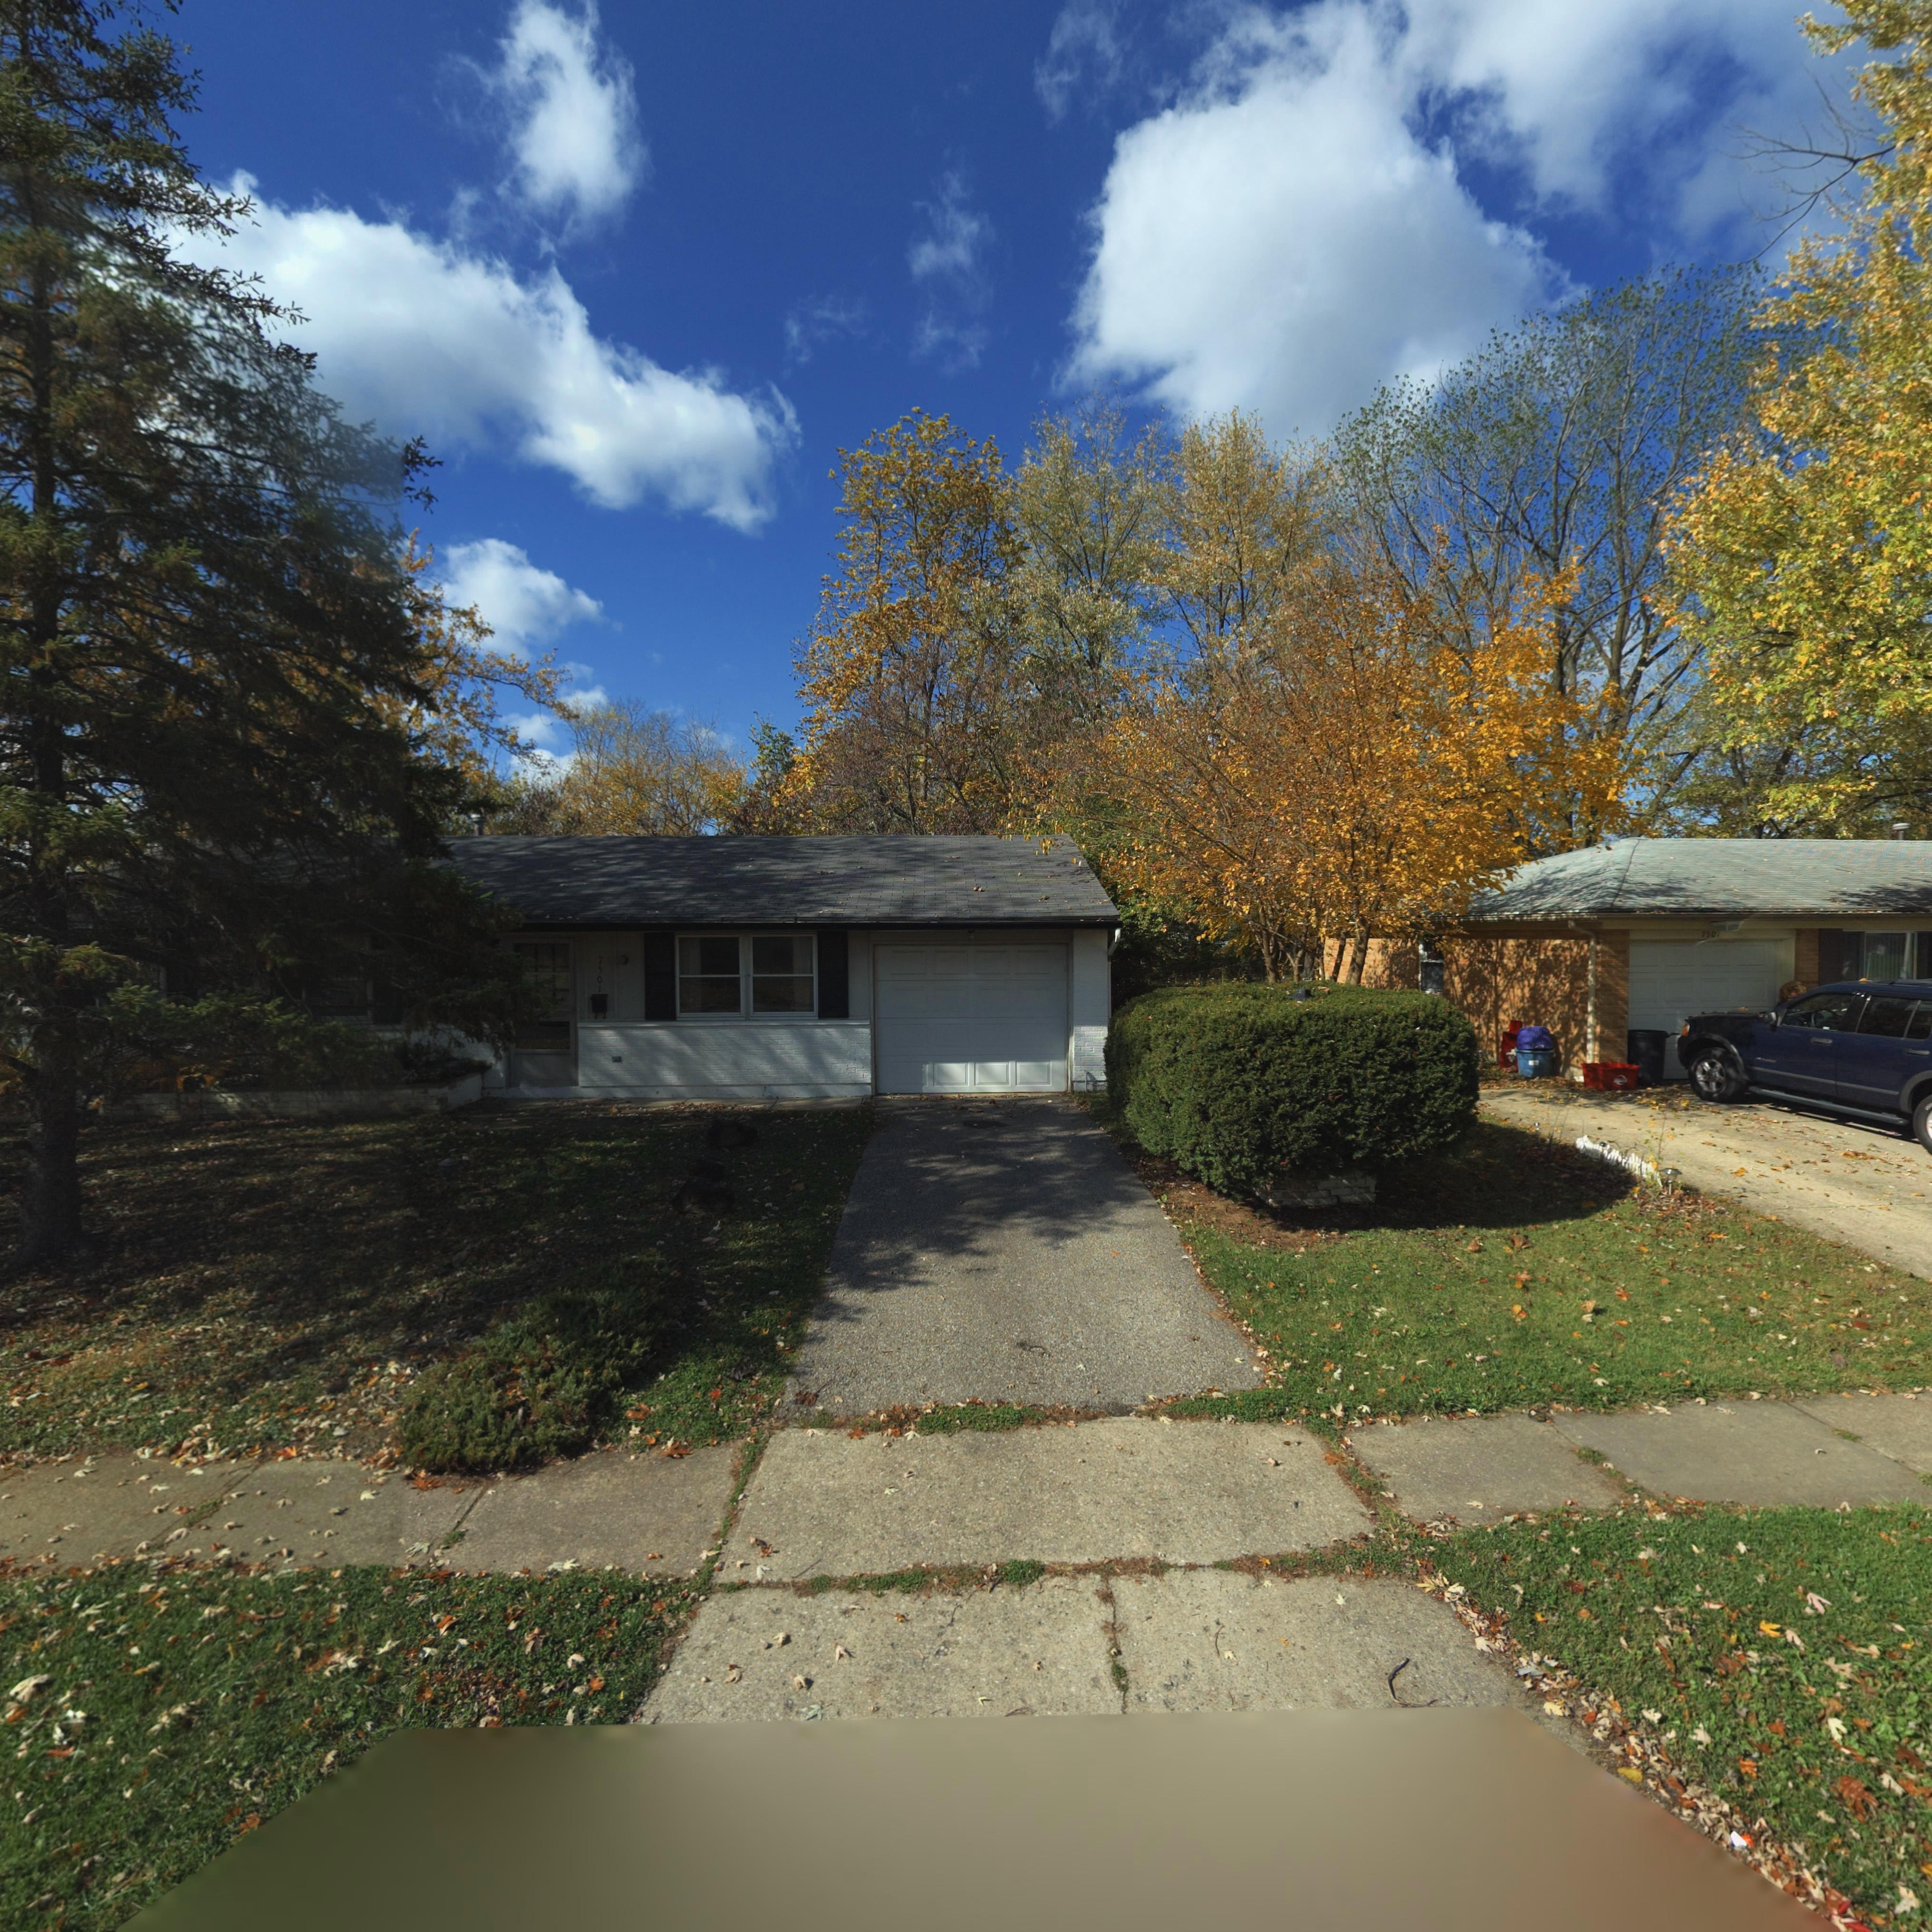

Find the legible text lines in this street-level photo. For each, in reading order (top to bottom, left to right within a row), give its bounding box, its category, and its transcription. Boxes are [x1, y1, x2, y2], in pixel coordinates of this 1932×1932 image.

[1700, 930, 1721, 937] StreetNumber: 7507
[597, 956, 604, 993] StreetNumber: 7501